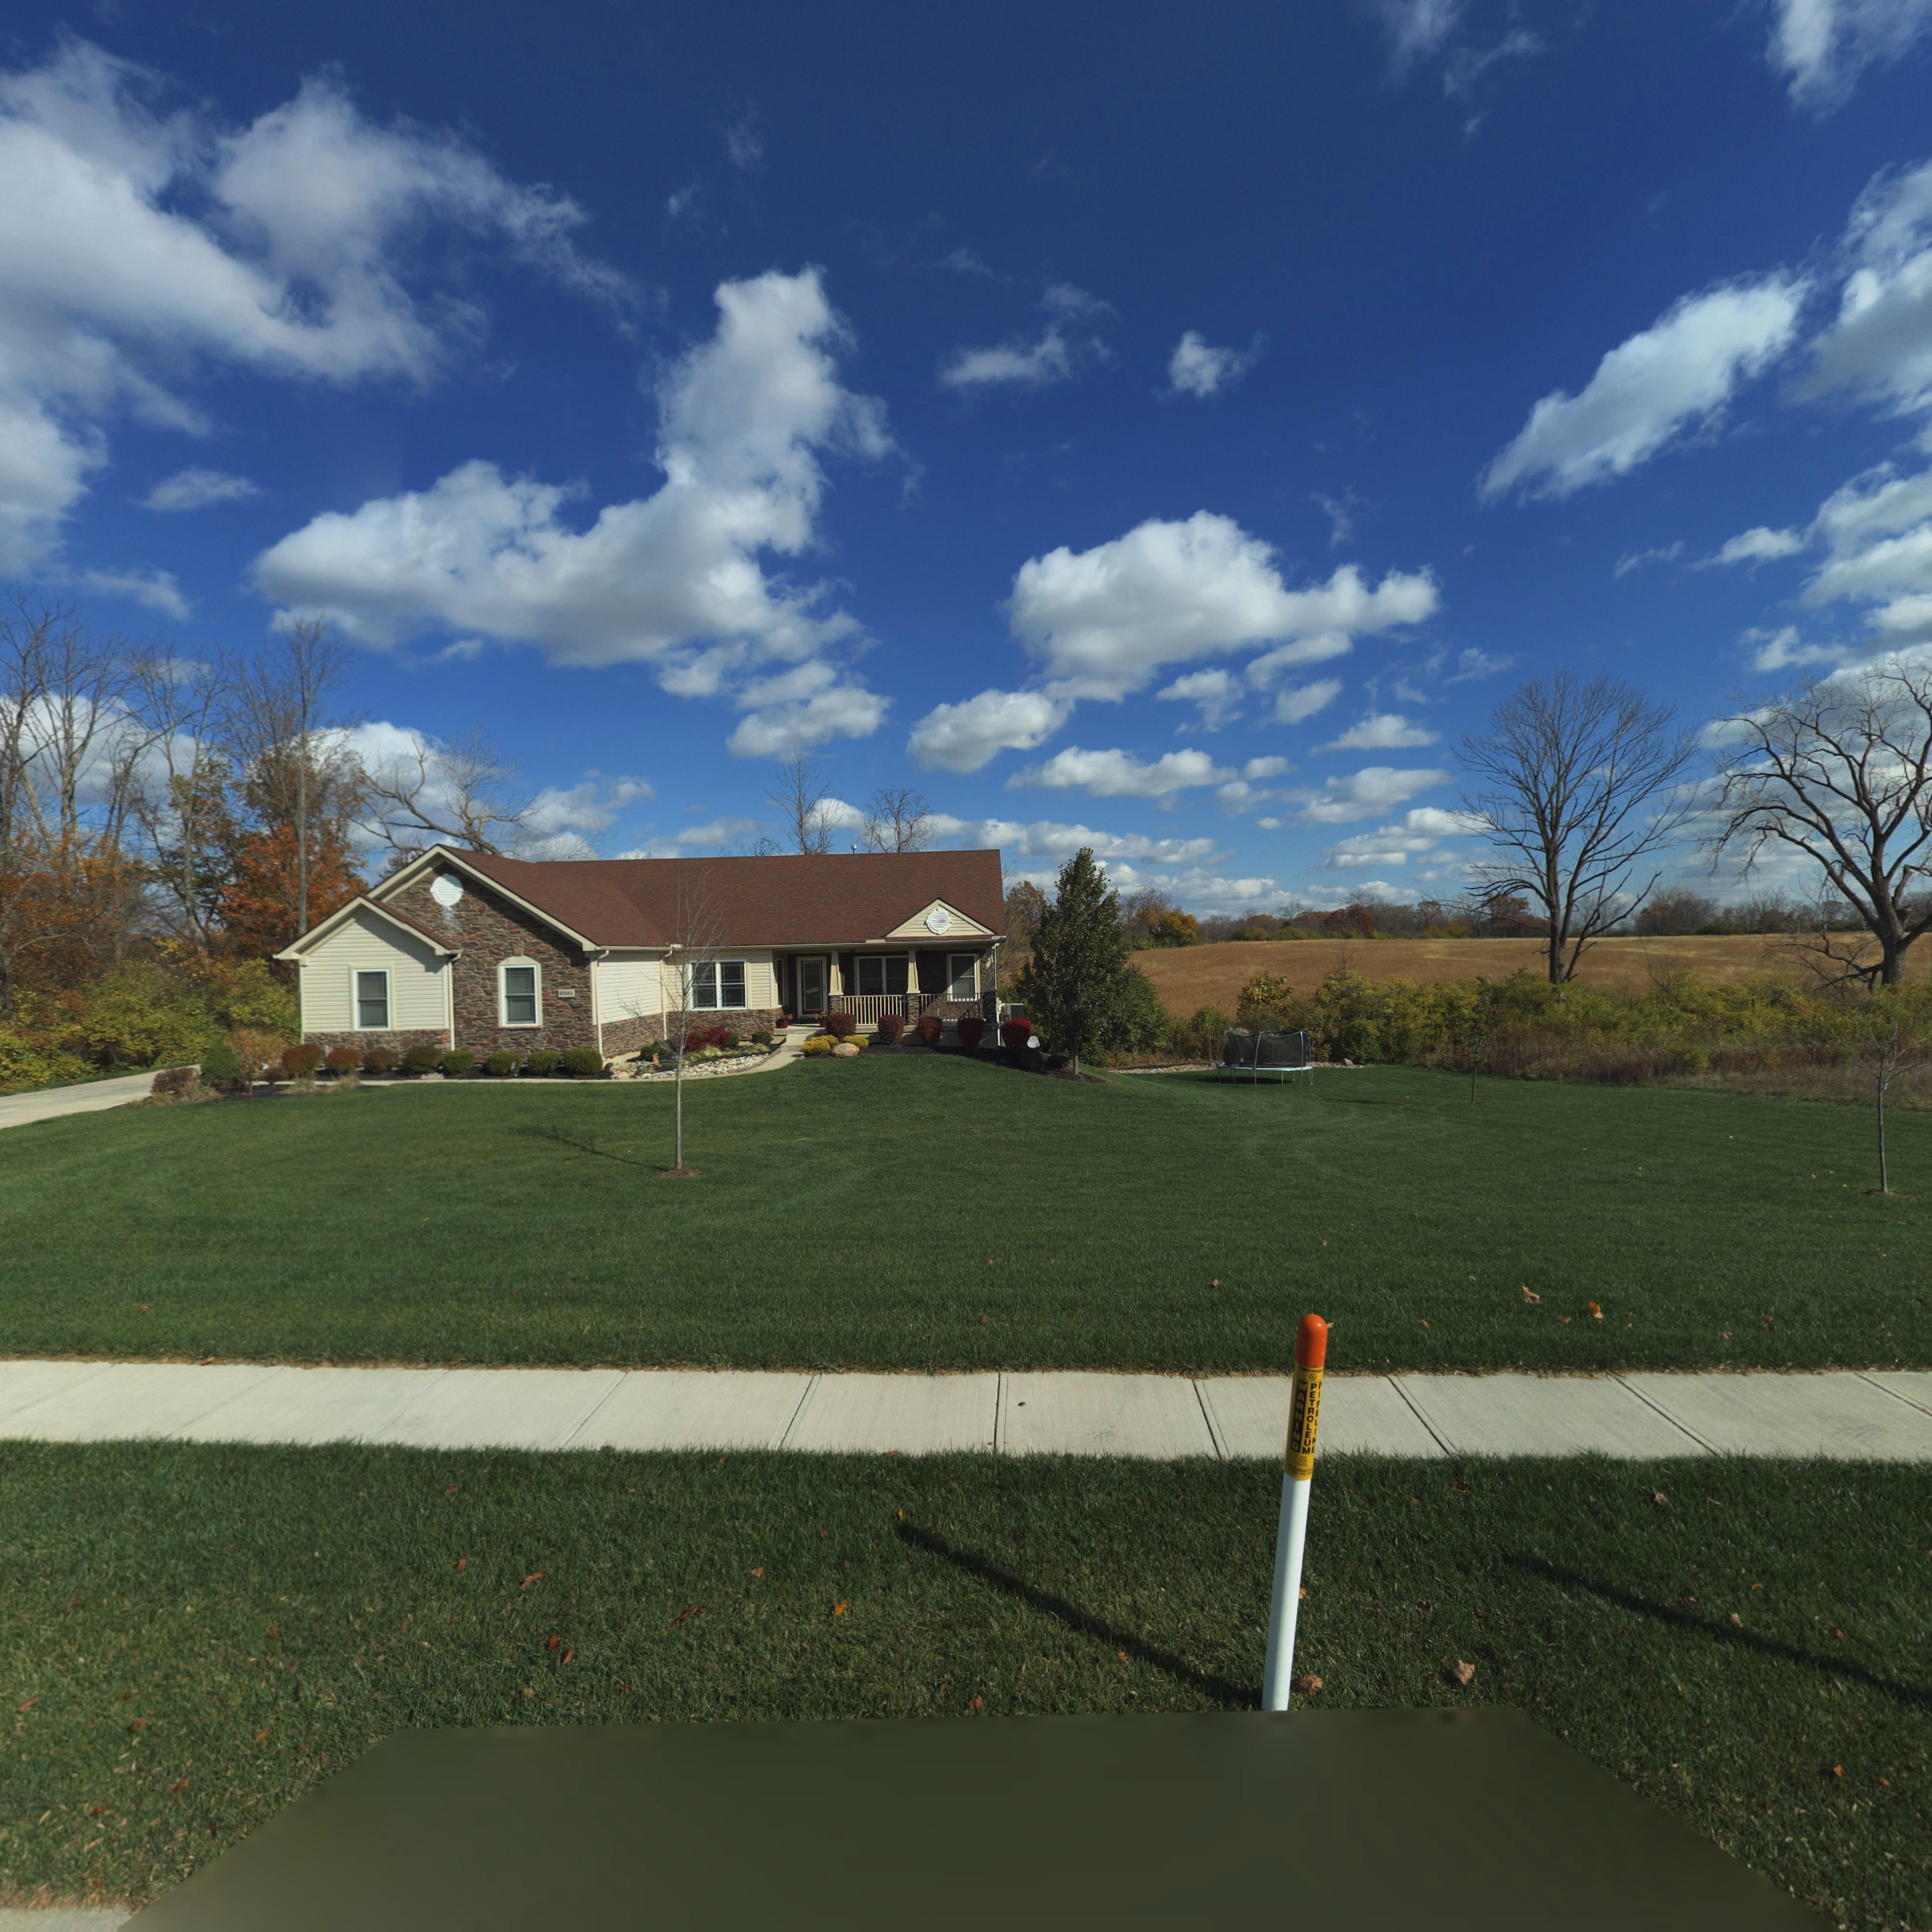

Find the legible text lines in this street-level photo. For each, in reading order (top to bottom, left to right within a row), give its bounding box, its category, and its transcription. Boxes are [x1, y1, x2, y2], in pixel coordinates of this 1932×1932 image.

[559, 990, 573, 996] StreetNumber: 6981